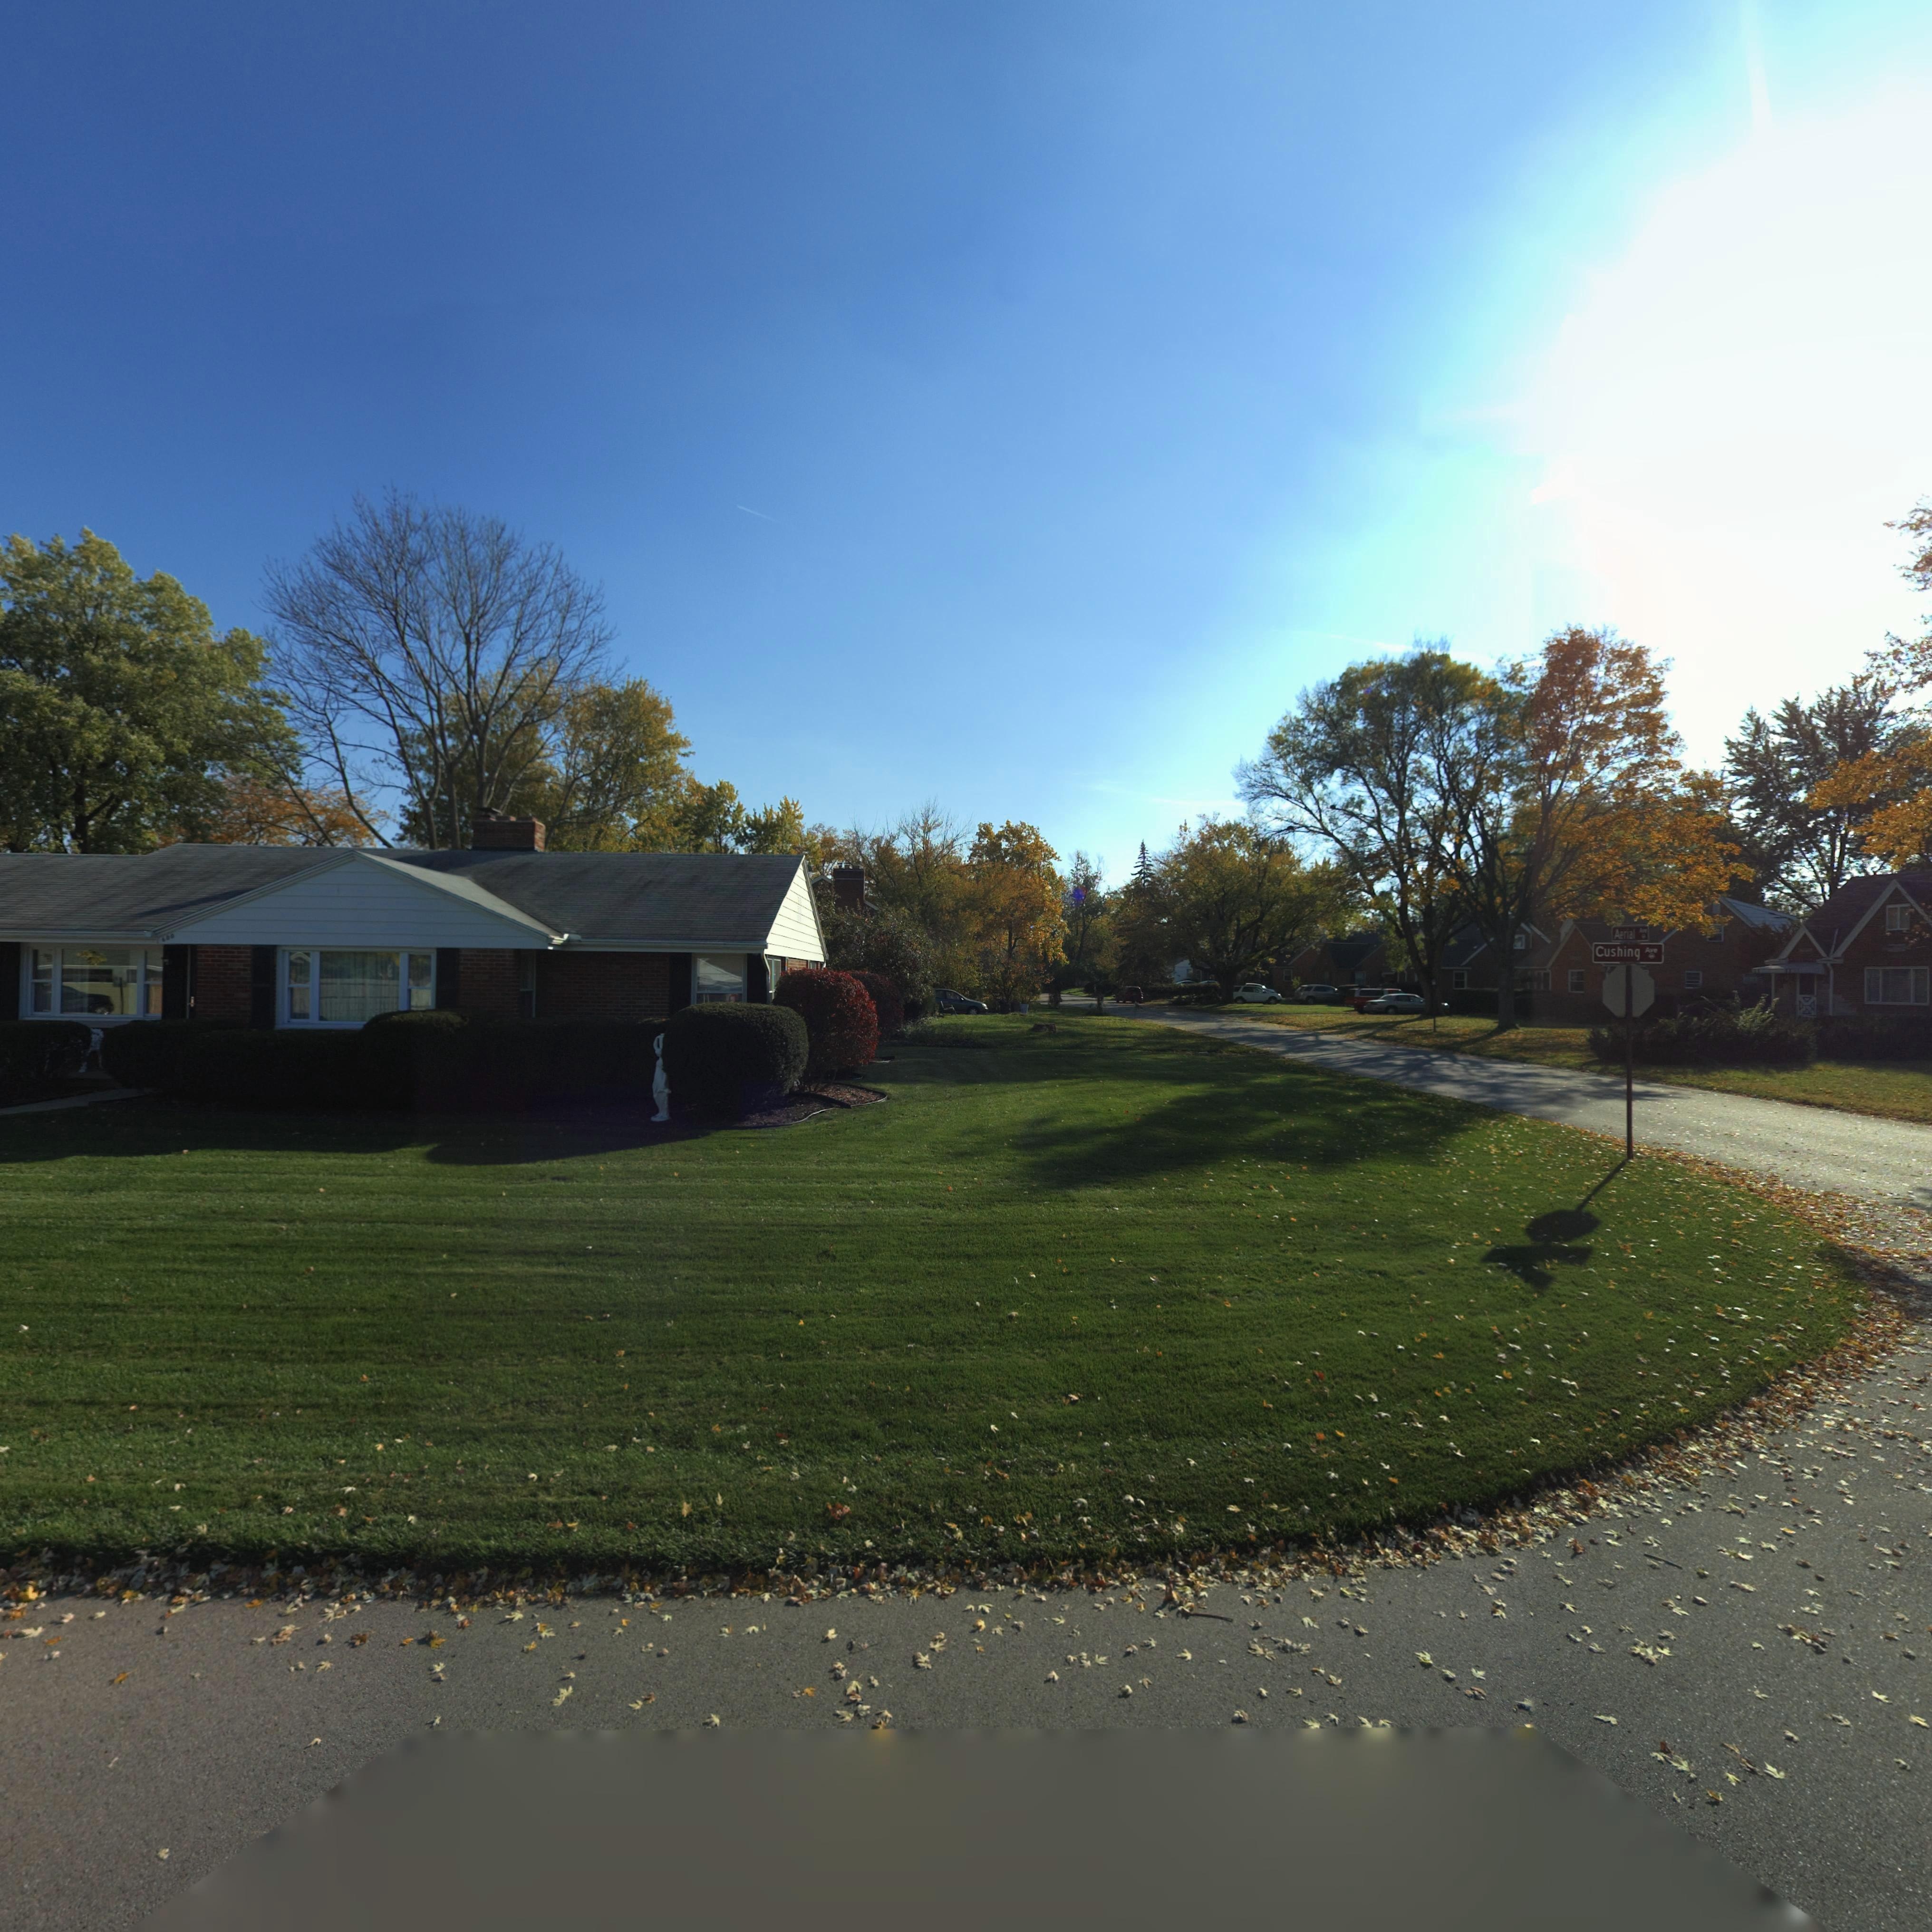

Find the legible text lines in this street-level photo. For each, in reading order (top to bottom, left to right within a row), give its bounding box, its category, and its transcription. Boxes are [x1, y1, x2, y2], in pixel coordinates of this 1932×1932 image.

[161, 932, 175, 943] StreetNumber: 600
[1613, 927, 1636, 940] StreetName: Aerial
[1594, 945, 1659, 962] StreetName: Cushing Ave